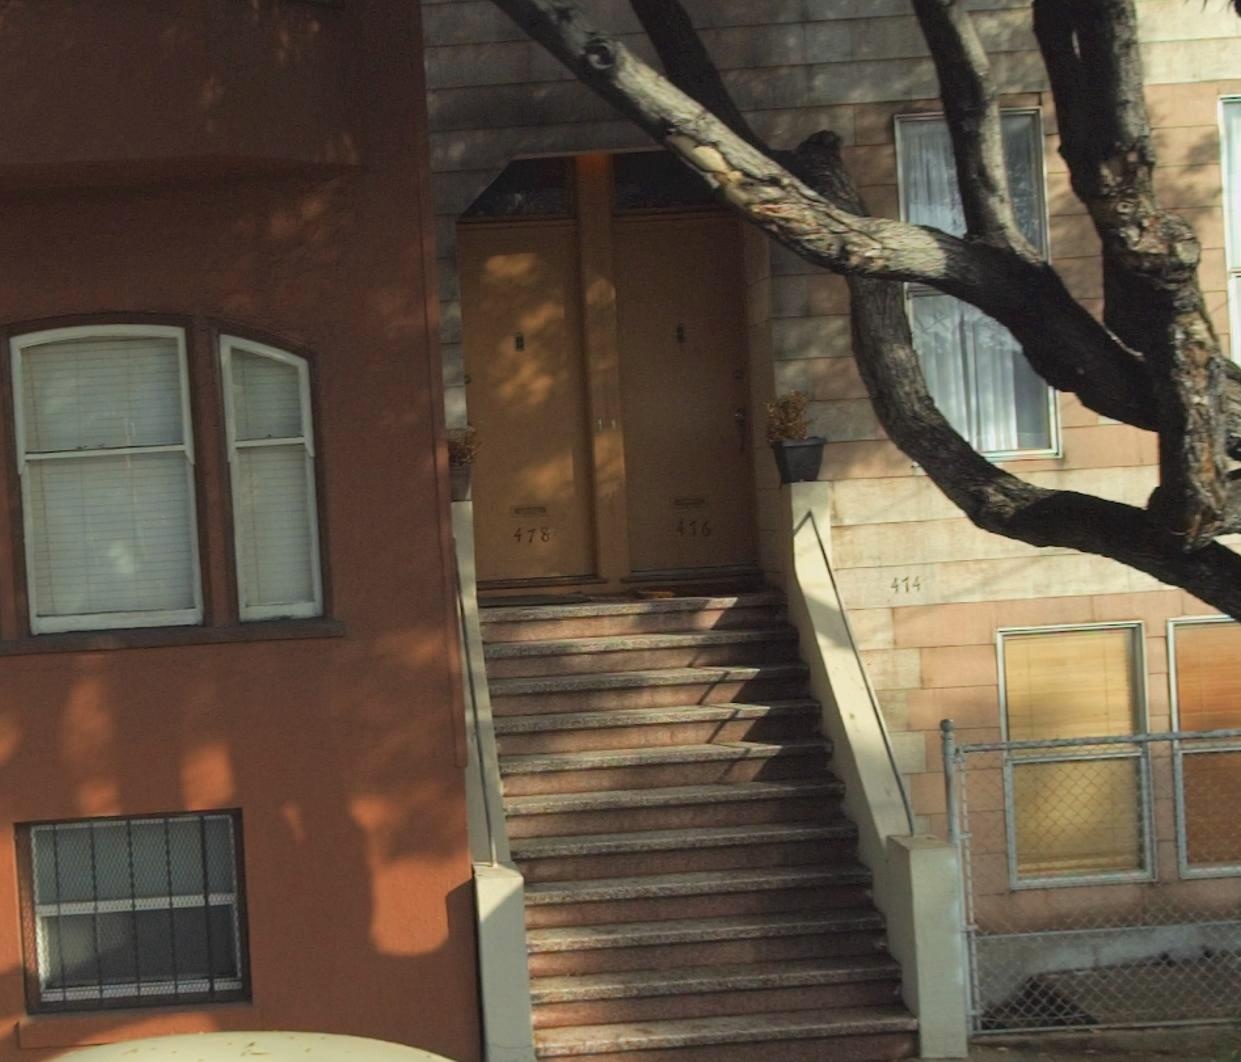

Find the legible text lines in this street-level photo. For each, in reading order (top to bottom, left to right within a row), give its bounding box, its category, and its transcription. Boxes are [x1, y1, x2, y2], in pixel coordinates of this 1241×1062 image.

[510, 523, 553, 546] StreetNumber: 478
[673, 517, 714, 539] StreetNumber: 416
[885, 572, 924, 596] StreetNumber: 414